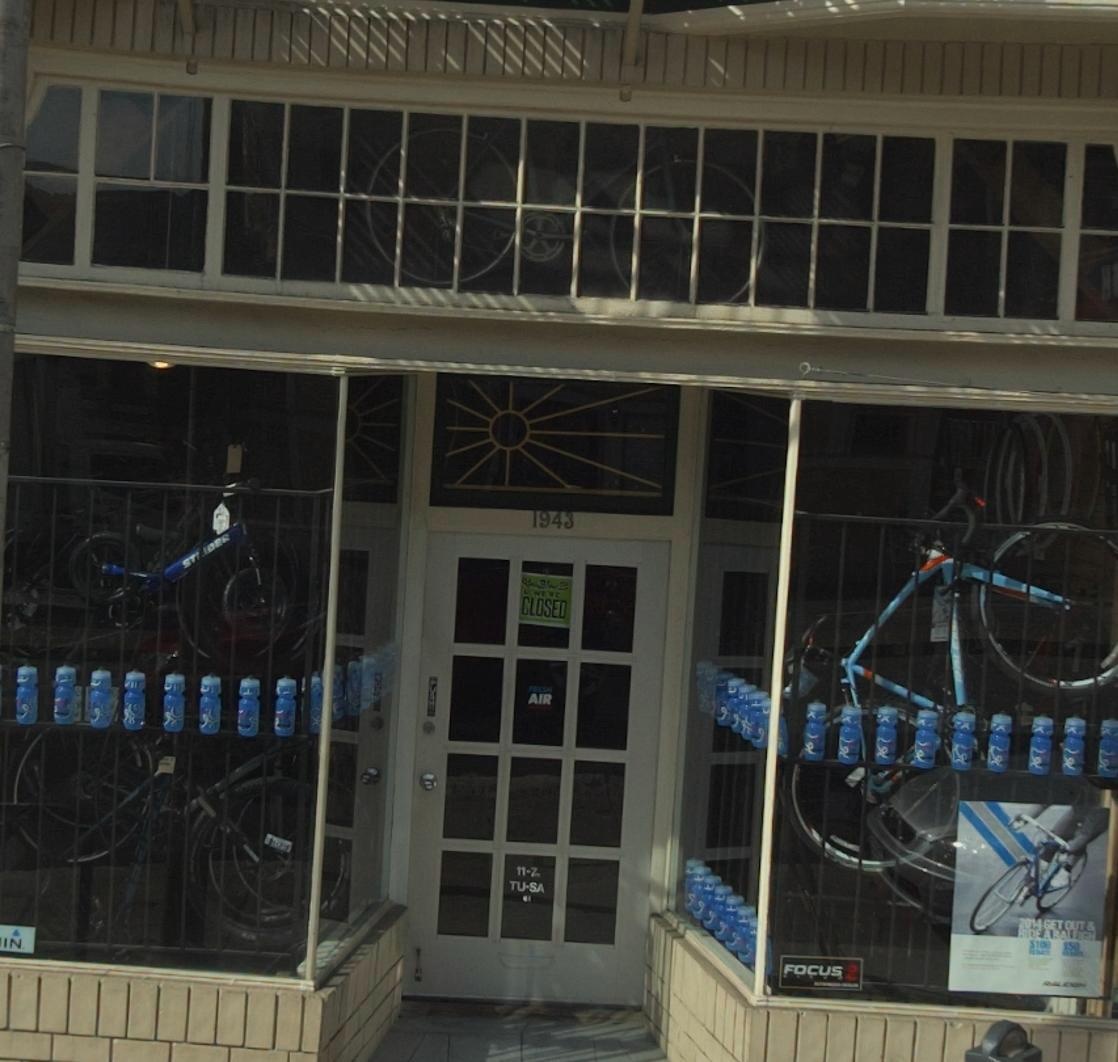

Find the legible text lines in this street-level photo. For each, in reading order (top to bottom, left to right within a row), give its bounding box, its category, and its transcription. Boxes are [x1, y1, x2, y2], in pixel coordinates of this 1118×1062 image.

[530, 507, 577, 531] StreetNumber: 1943
[179, 531, 233, 573] None: ST**OER
[520, 593, 569, 621] None: CLOSED
[372, 673, 382, 689] None: *U
[427, 678, 438, 695] None: PU
[525, 691, 554, 707] None: AIR
[514, 863, 540, 879] None: 11-7
[507, 878, 547, 896] None: TU-SA
[1016, 915, 1087, 933] None: 2014 GET OUT
[2, 936, 24, 951] None: IN
[1017, 926, 1098, 944] None: RIDE A RALEIGH
[782, 962, 845, 979] None: FOCUS